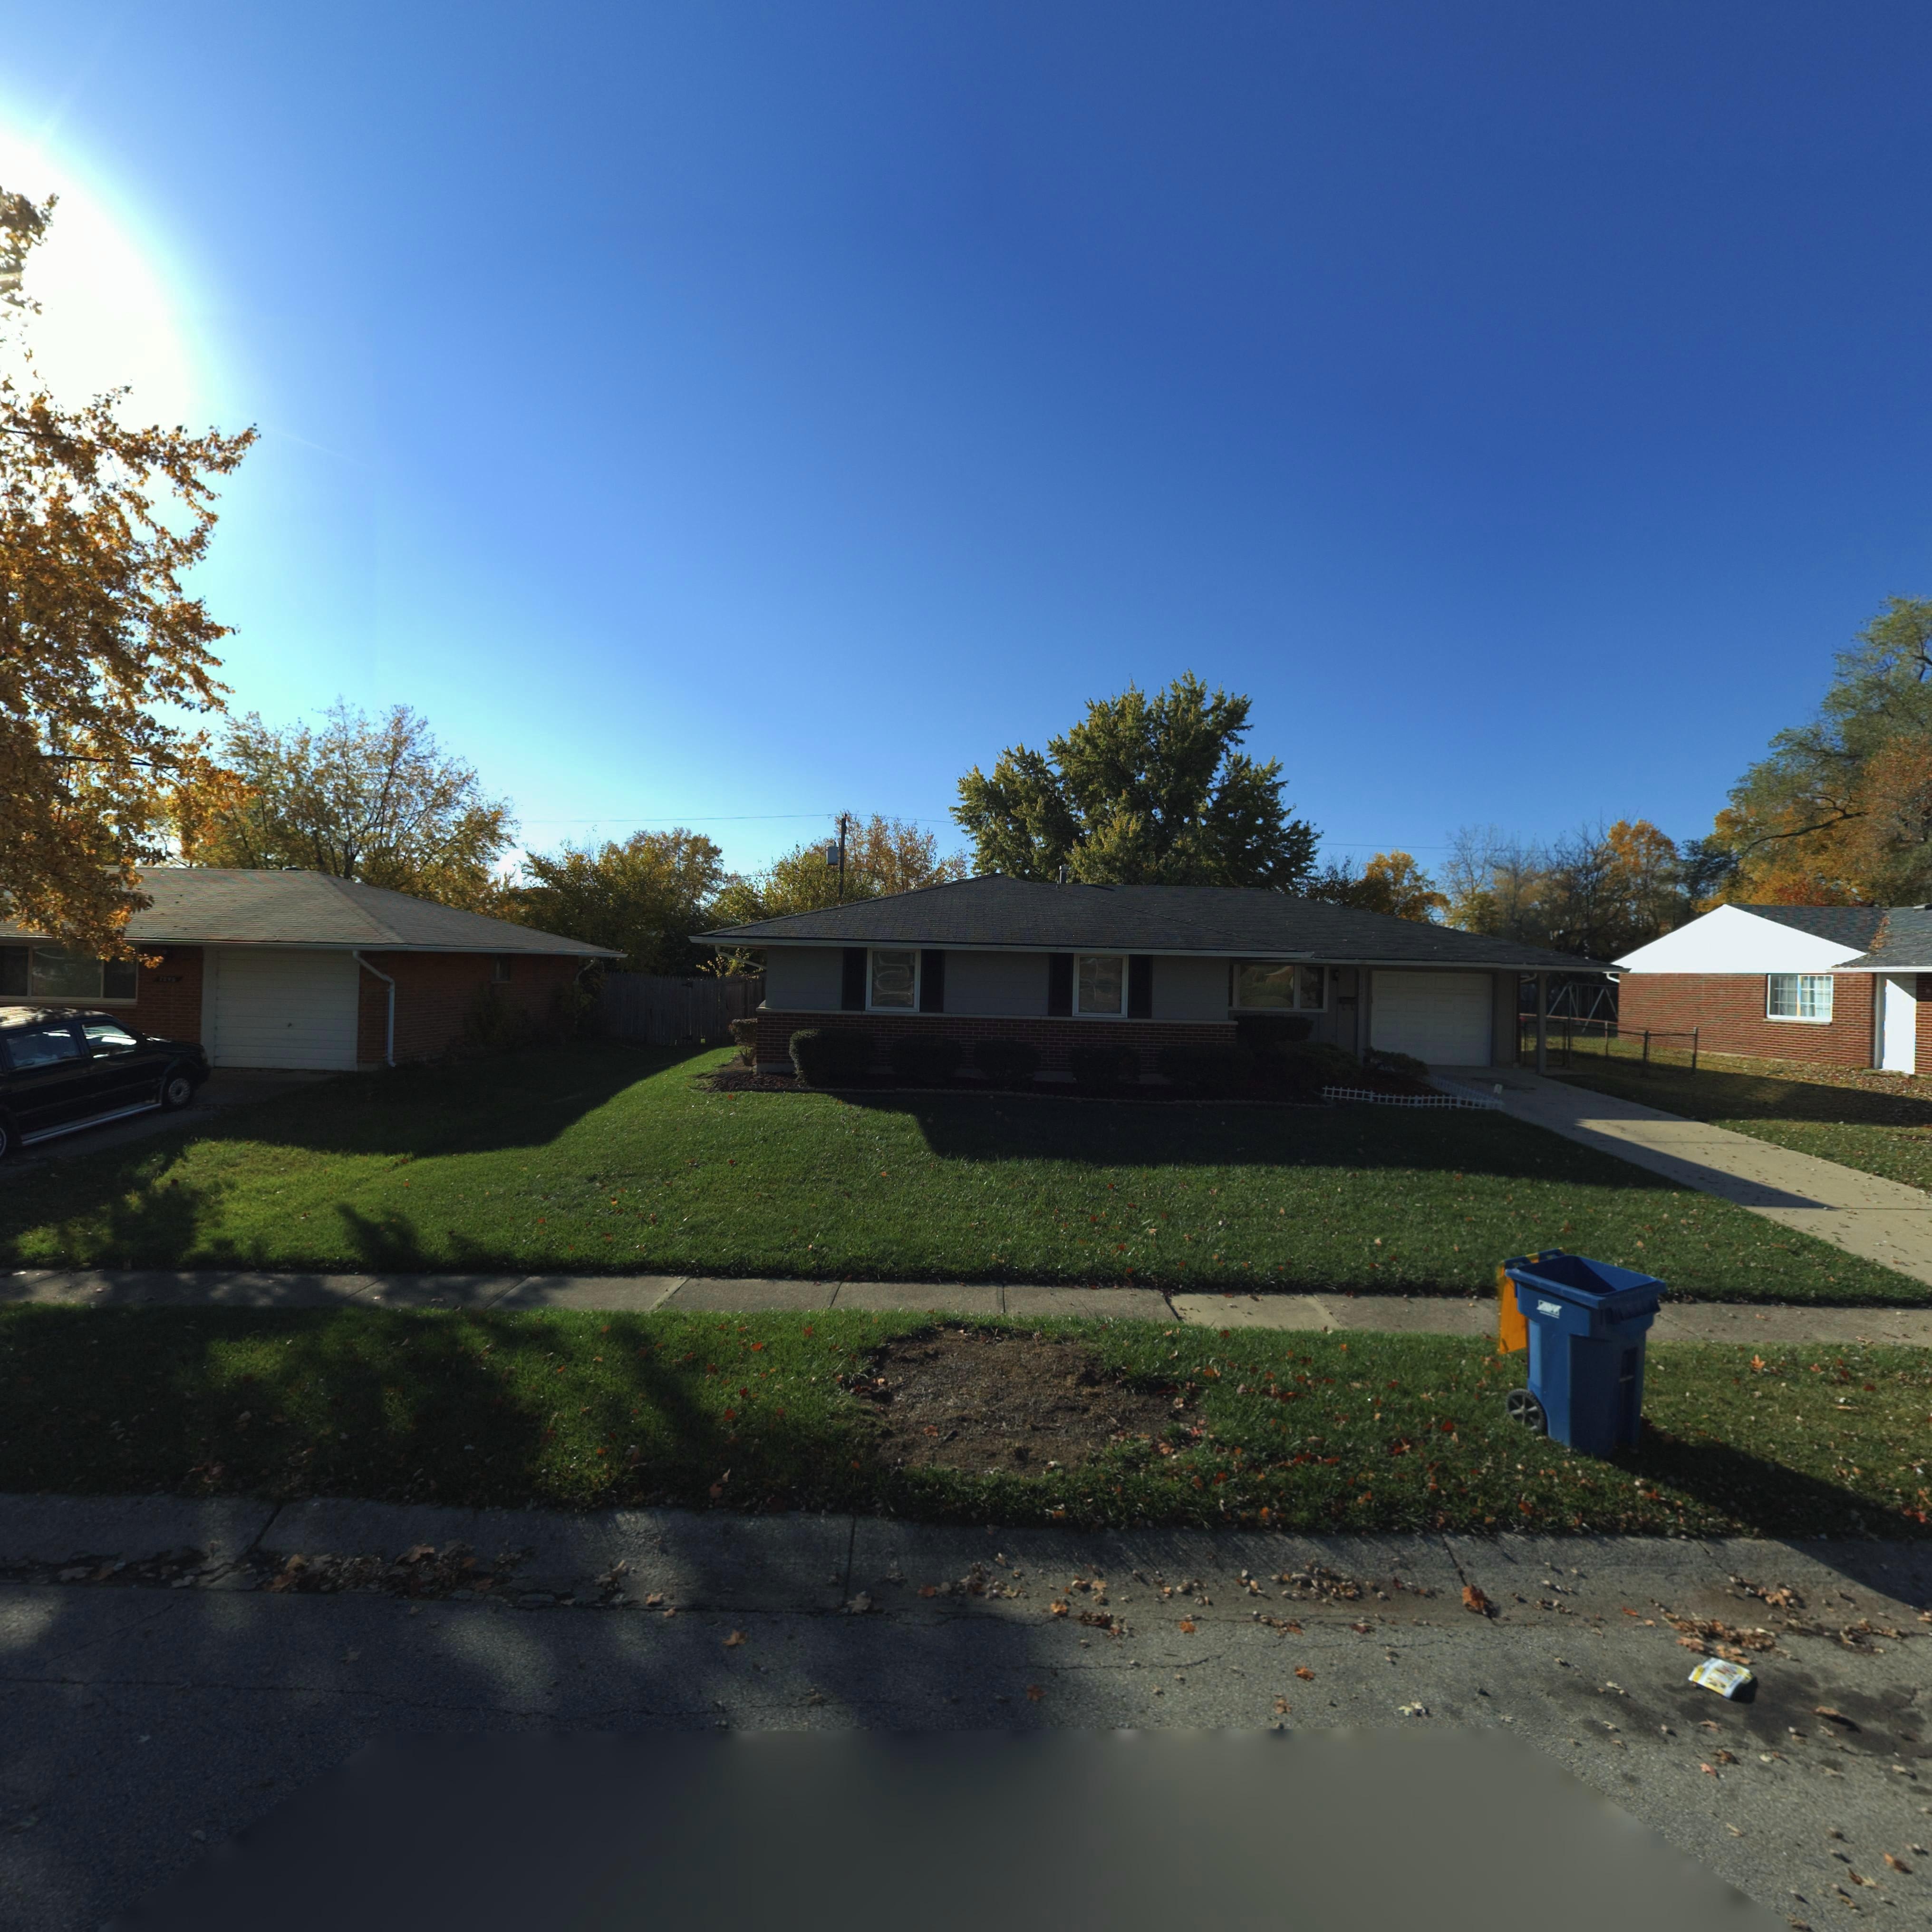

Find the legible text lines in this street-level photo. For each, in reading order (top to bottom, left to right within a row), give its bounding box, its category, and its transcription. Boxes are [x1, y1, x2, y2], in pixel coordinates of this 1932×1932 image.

[159, 976, 176, 983] StreetNumber: 7*46
[1358, 974, 1365, 1004] StreetNumber: 7*42